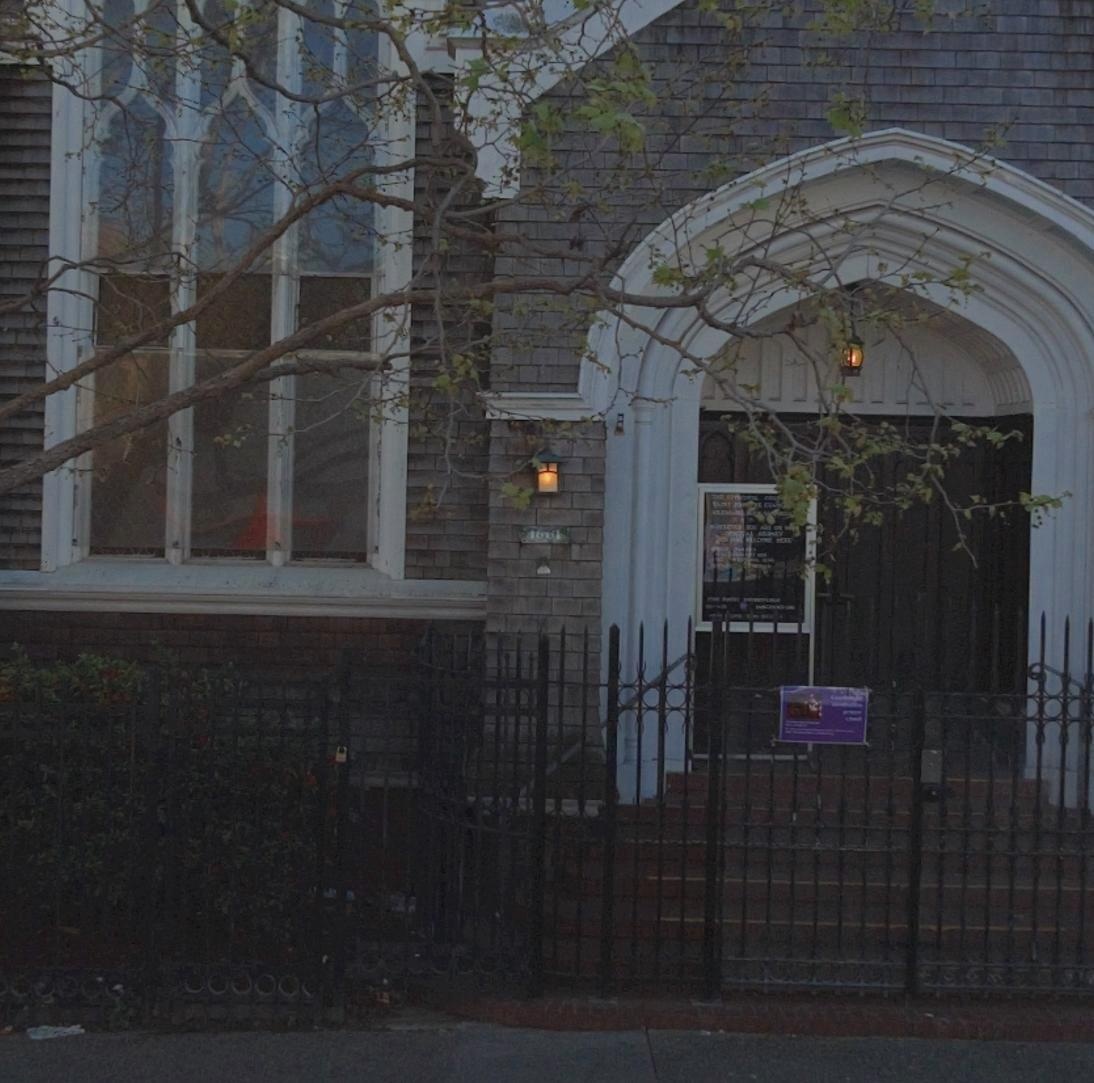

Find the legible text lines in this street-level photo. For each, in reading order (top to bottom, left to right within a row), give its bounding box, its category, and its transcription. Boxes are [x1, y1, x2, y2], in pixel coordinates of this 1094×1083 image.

[527, 528, 562, 541] StreetNumber: 1661